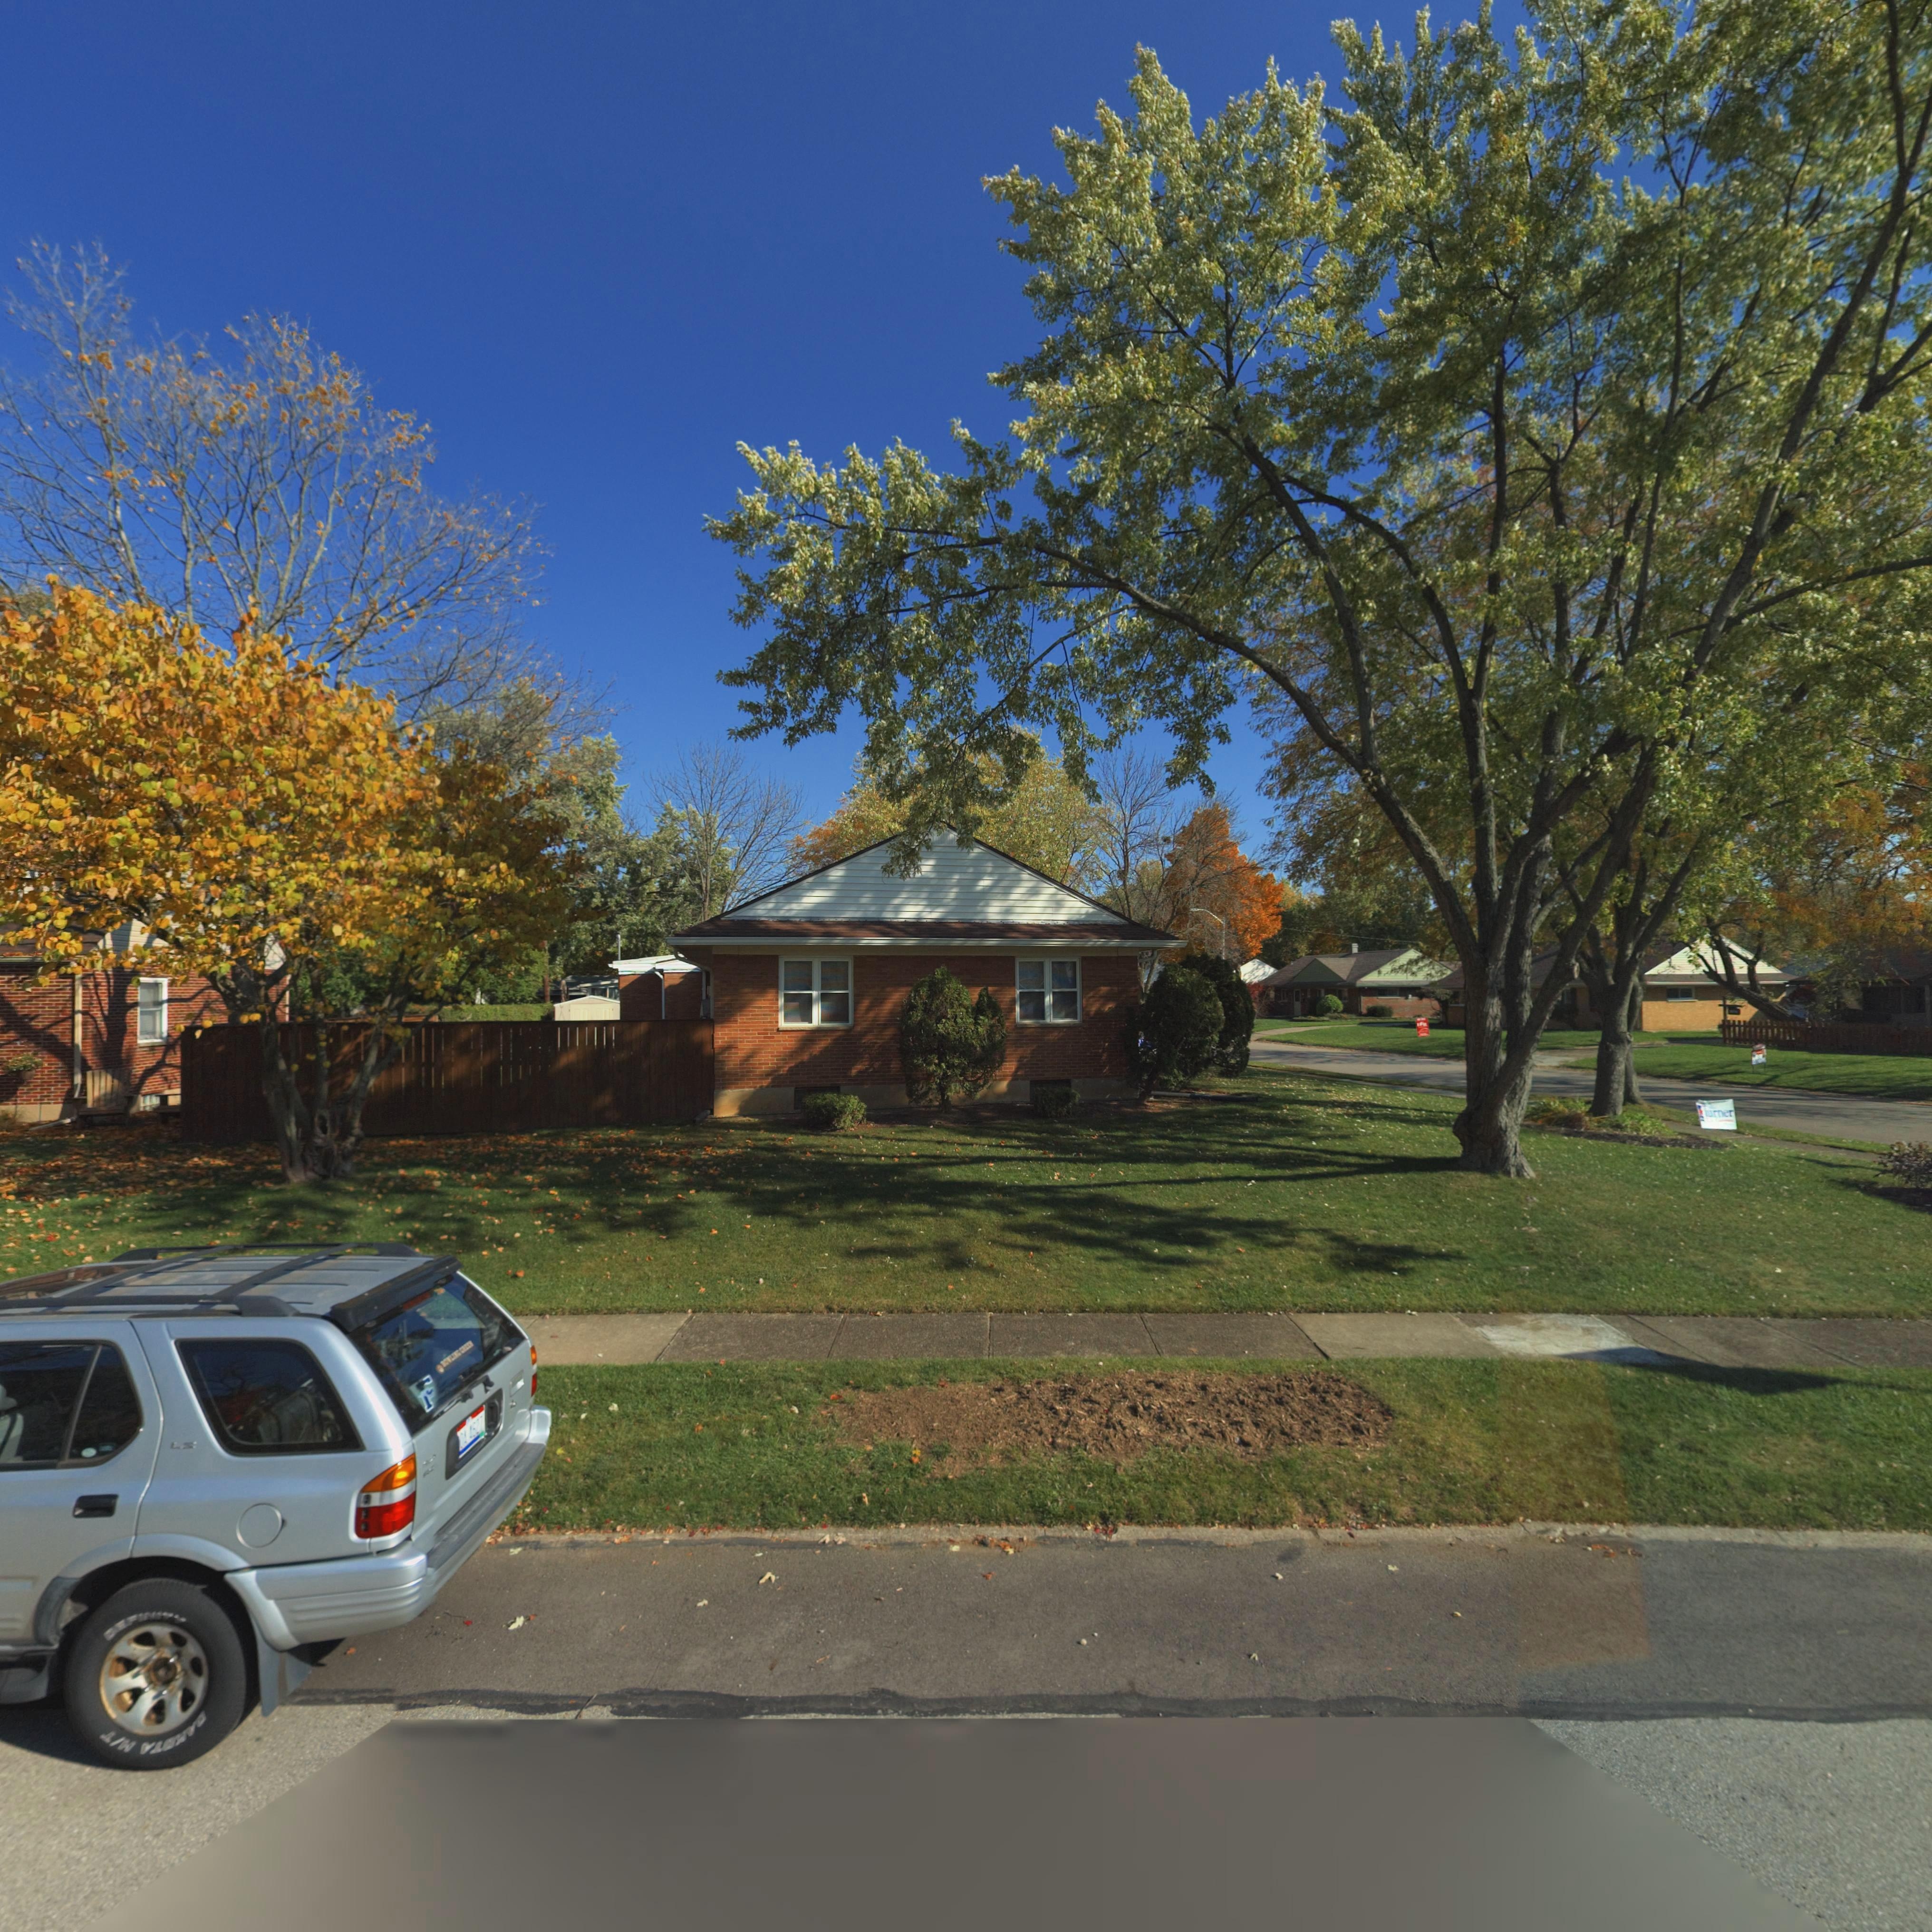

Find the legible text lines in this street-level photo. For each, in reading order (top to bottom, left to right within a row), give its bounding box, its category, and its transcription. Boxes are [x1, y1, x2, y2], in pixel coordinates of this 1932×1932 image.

[1700, 1105, 1735, 1118] None: Turner
[438, 1339, 475, 1369] None: BOWLING GREEN
[168, 1440, 198, 1450] None: LS
[458, 1413, 484, 1451] None: *A*4627
[102, 1610, 188, 1642] None: DEFINITY
[159, 1734, 178, 1752] None: O